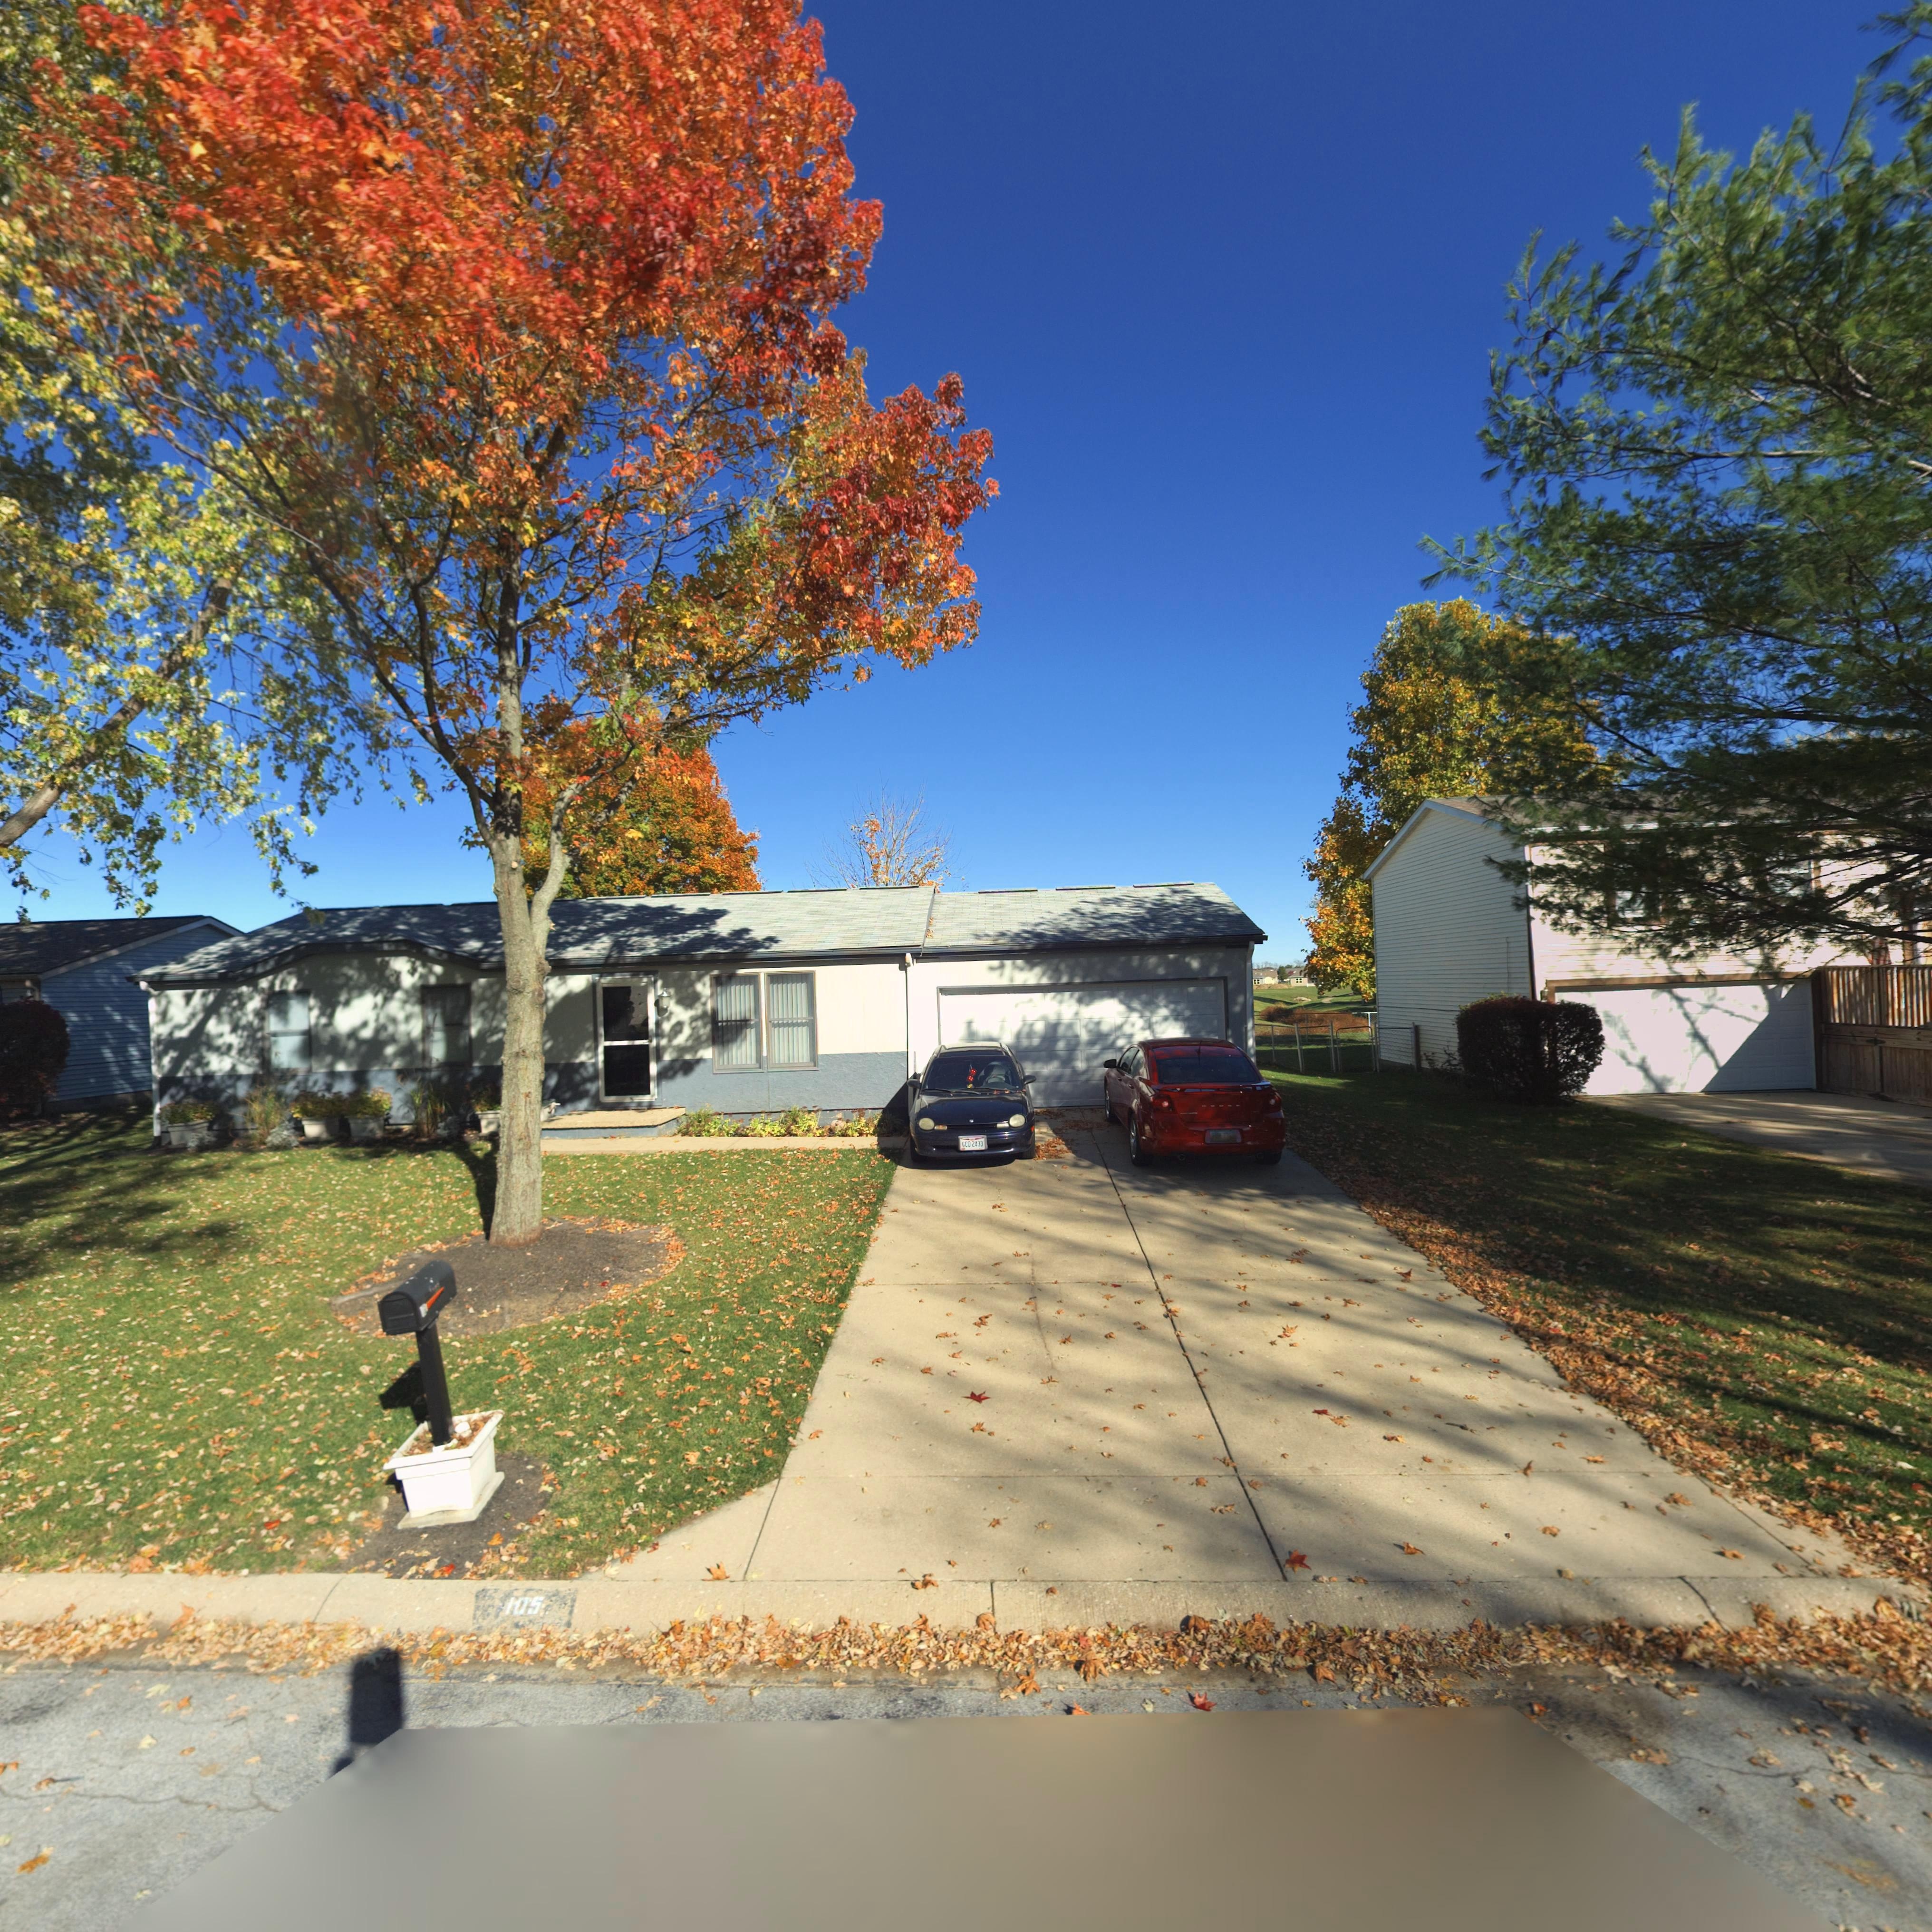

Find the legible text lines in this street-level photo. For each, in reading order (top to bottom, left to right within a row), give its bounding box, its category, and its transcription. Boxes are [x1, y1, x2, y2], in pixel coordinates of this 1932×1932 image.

[501, 1594, 547, 1617] StreetNumber: 105